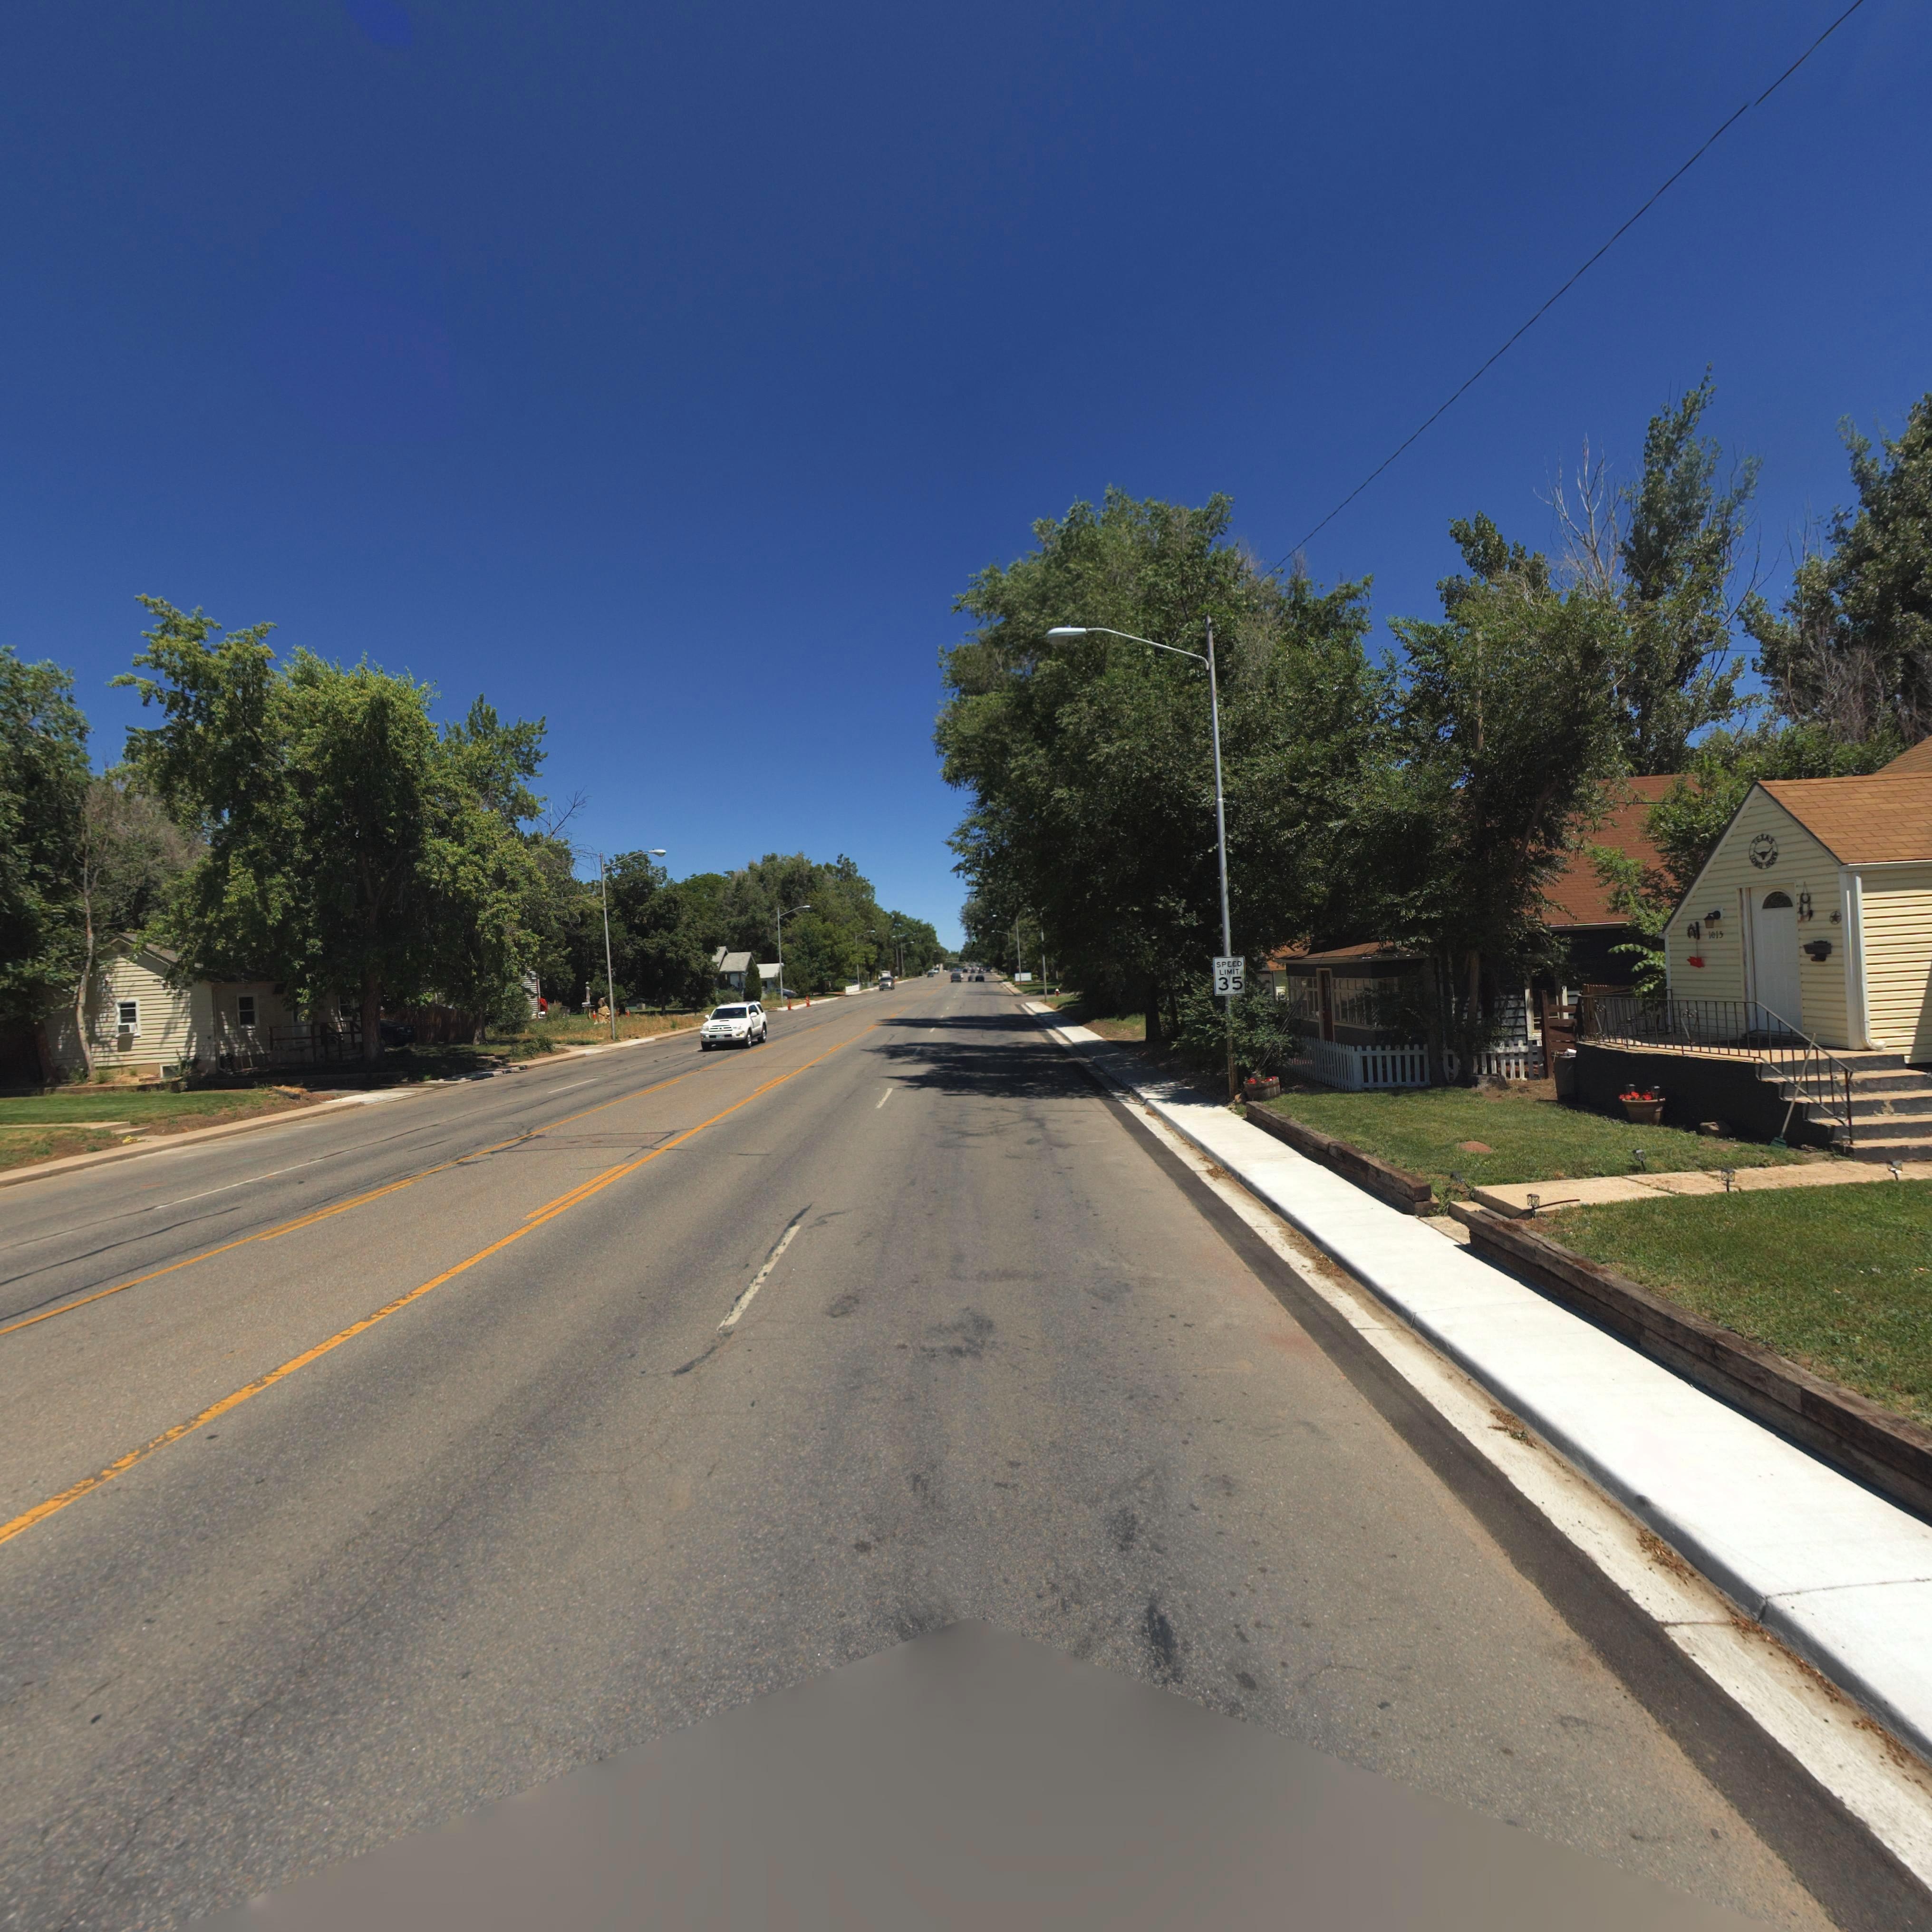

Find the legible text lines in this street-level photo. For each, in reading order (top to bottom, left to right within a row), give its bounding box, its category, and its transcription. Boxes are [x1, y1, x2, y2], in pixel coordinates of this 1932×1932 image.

[1709, 930, 1723, 939] StreetNumber: 1015